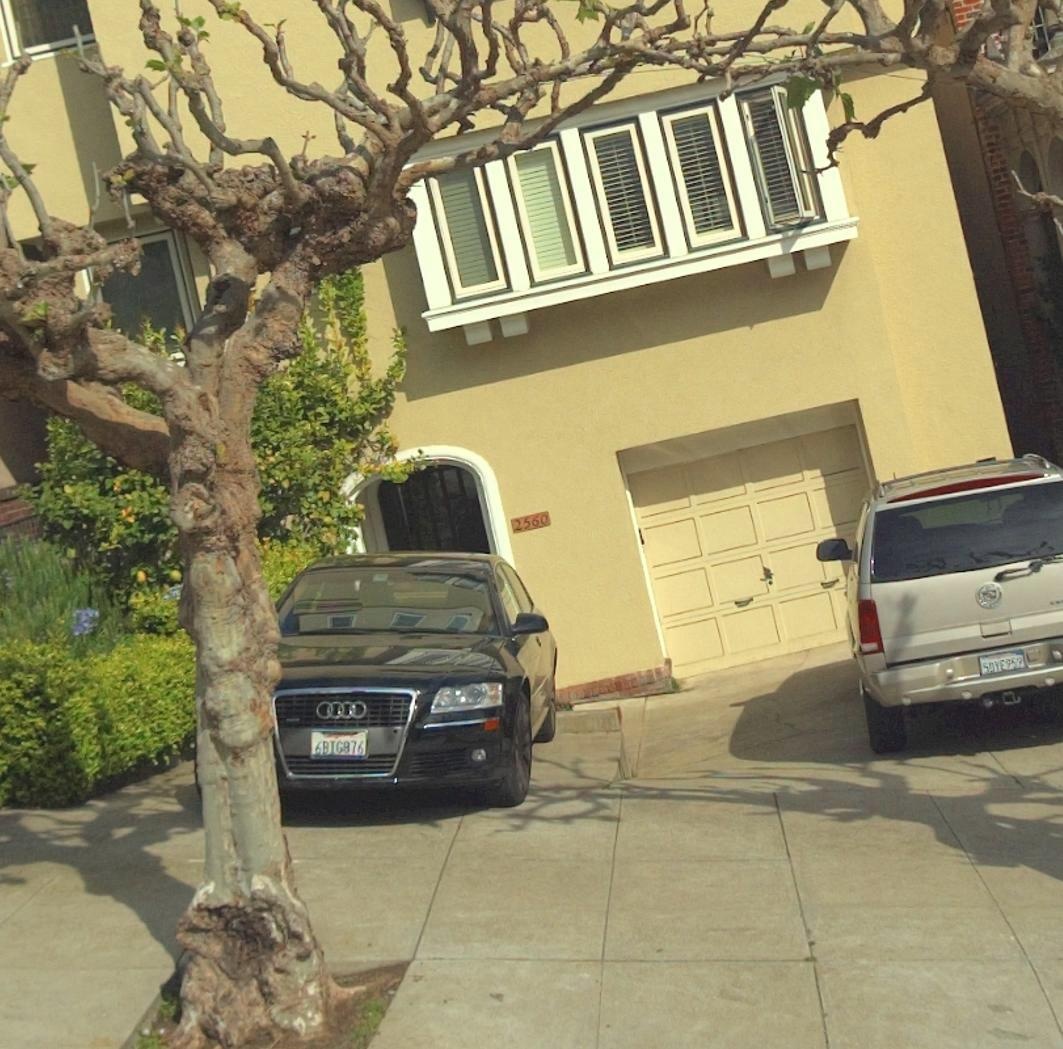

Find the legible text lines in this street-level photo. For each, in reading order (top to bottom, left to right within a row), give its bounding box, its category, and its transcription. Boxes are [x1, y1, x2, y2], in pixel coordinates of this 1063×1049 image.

[512, 513, 550, 534] StreetNumber: 2560
[980, 653, 1026, 677] None: 5DYE9**
[311, 737, 367, 758] None: 6BIG876